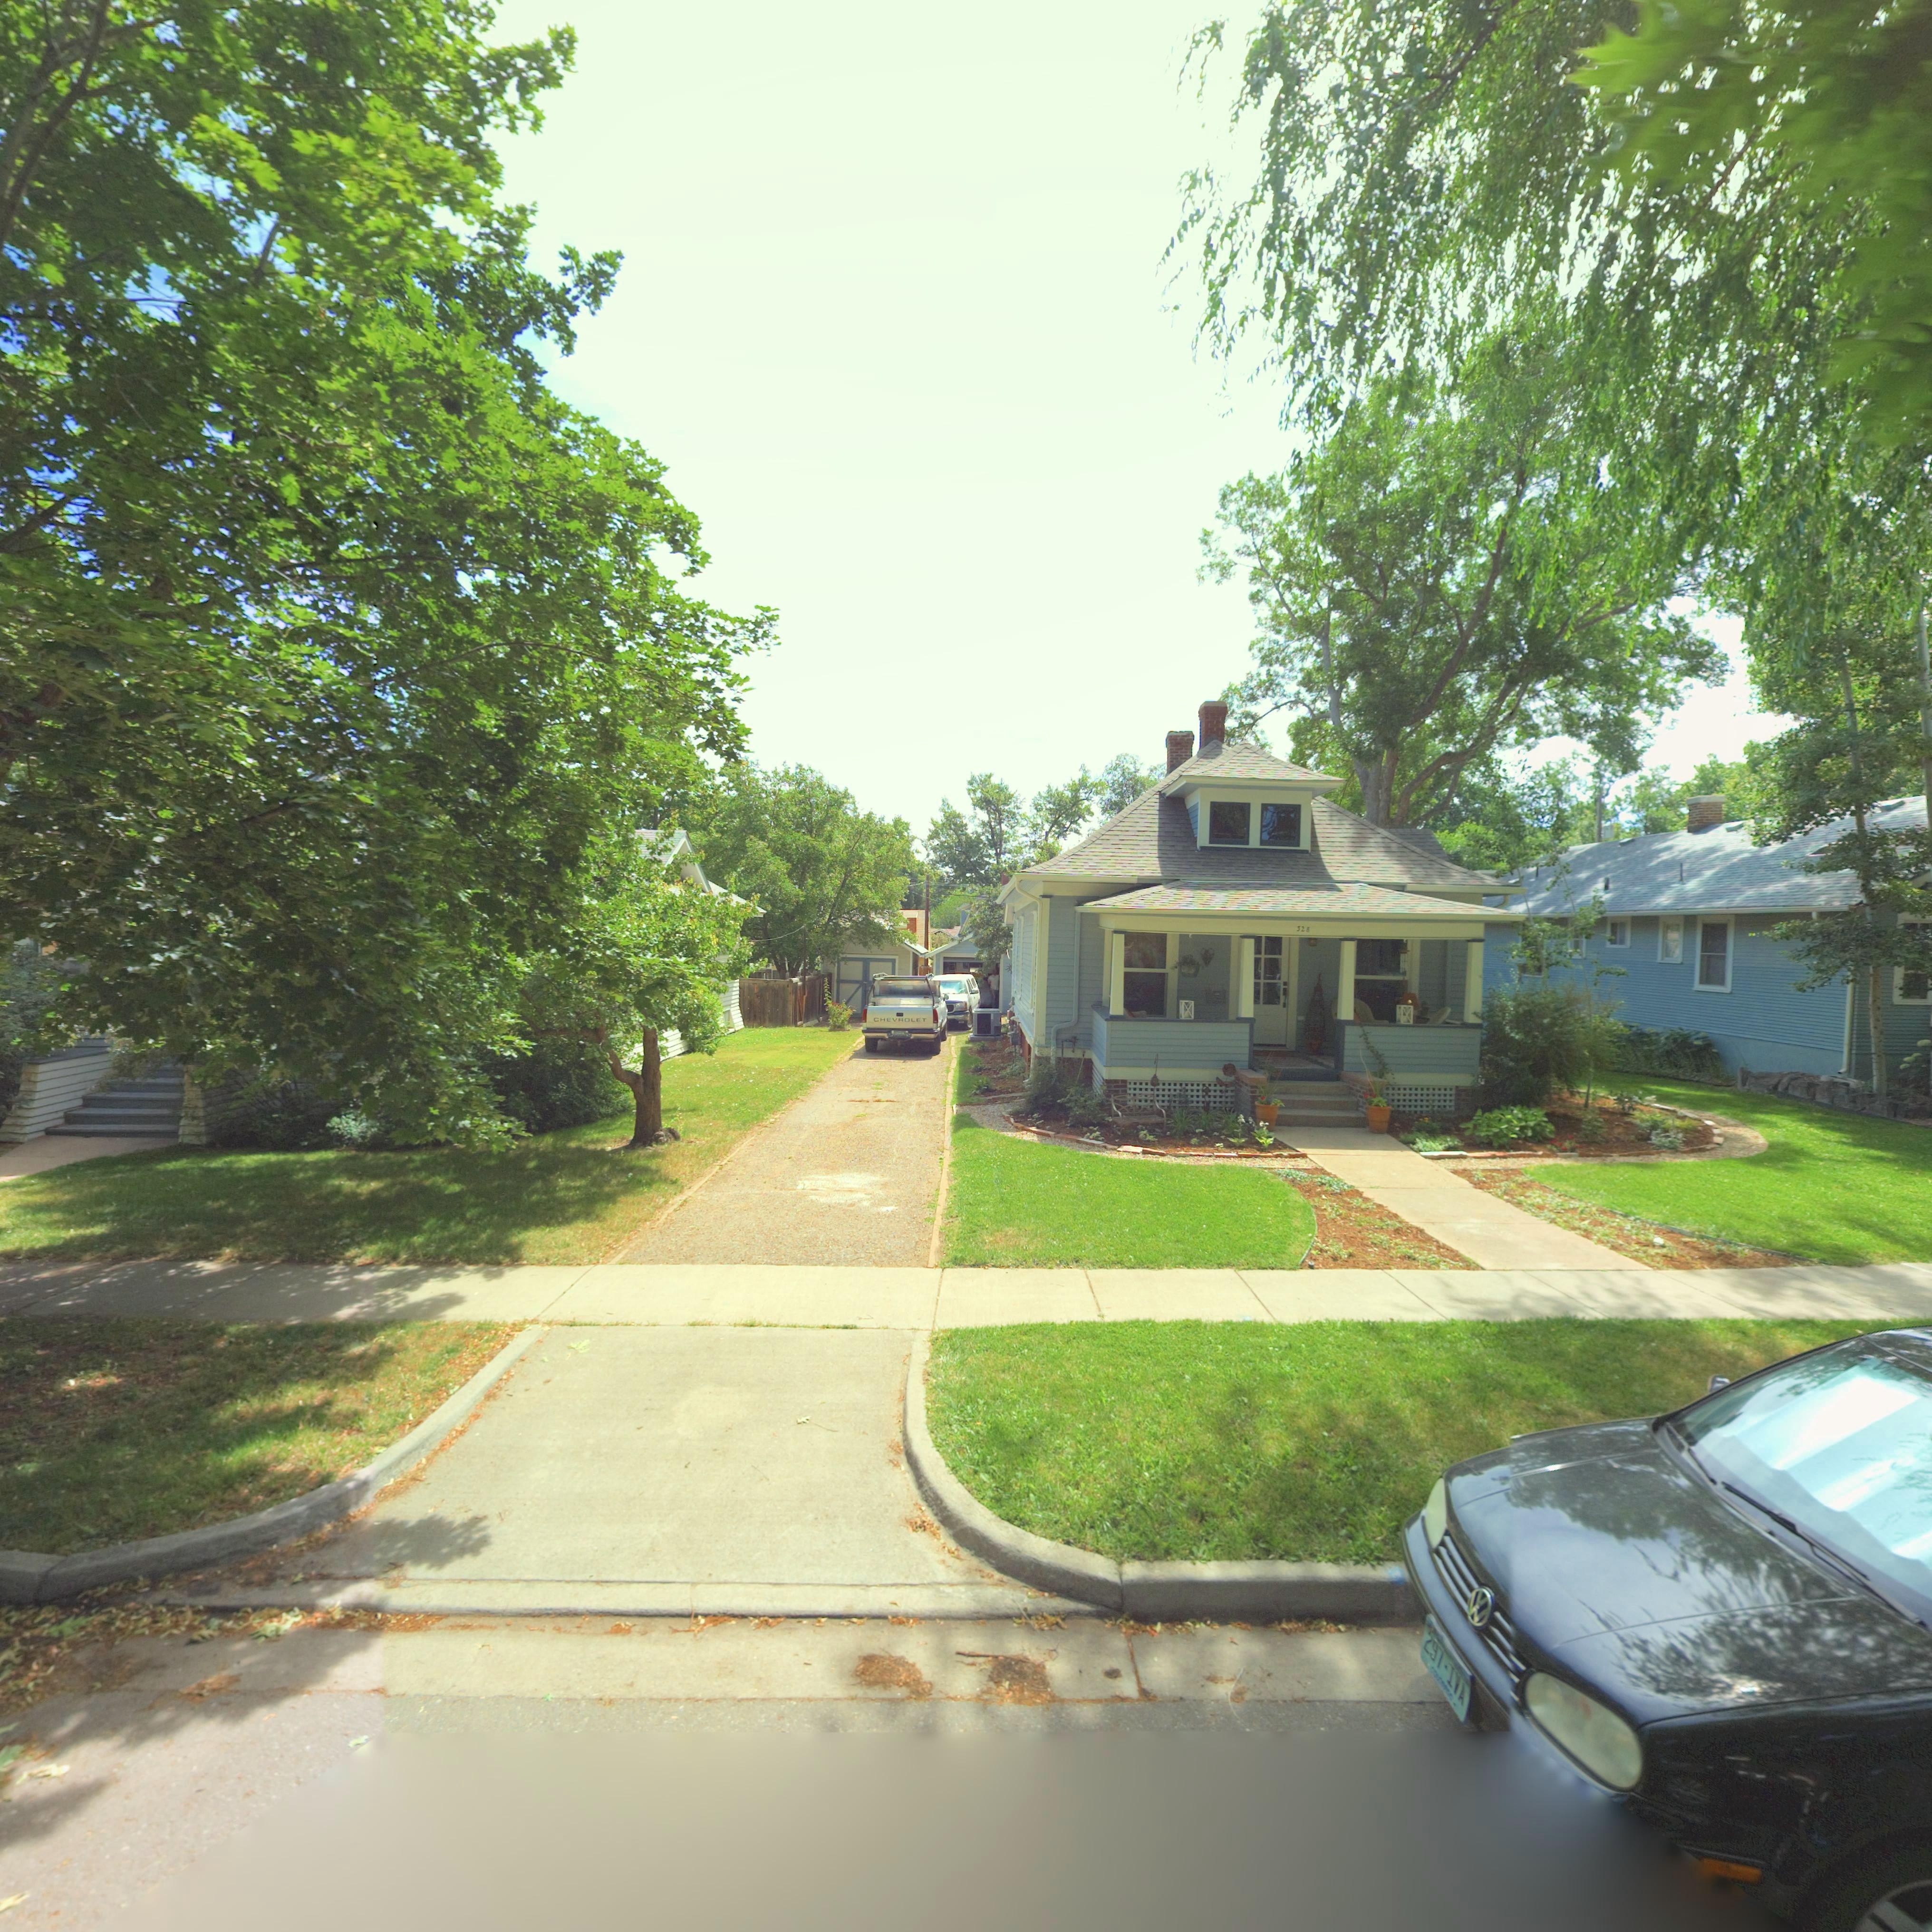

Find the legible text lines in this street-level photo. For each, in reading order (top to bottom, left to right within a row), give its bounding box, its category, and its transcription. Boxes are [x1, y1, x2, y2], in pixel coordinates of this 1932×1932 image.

[1296, 925, 1310, 933] StreetNumber: 328